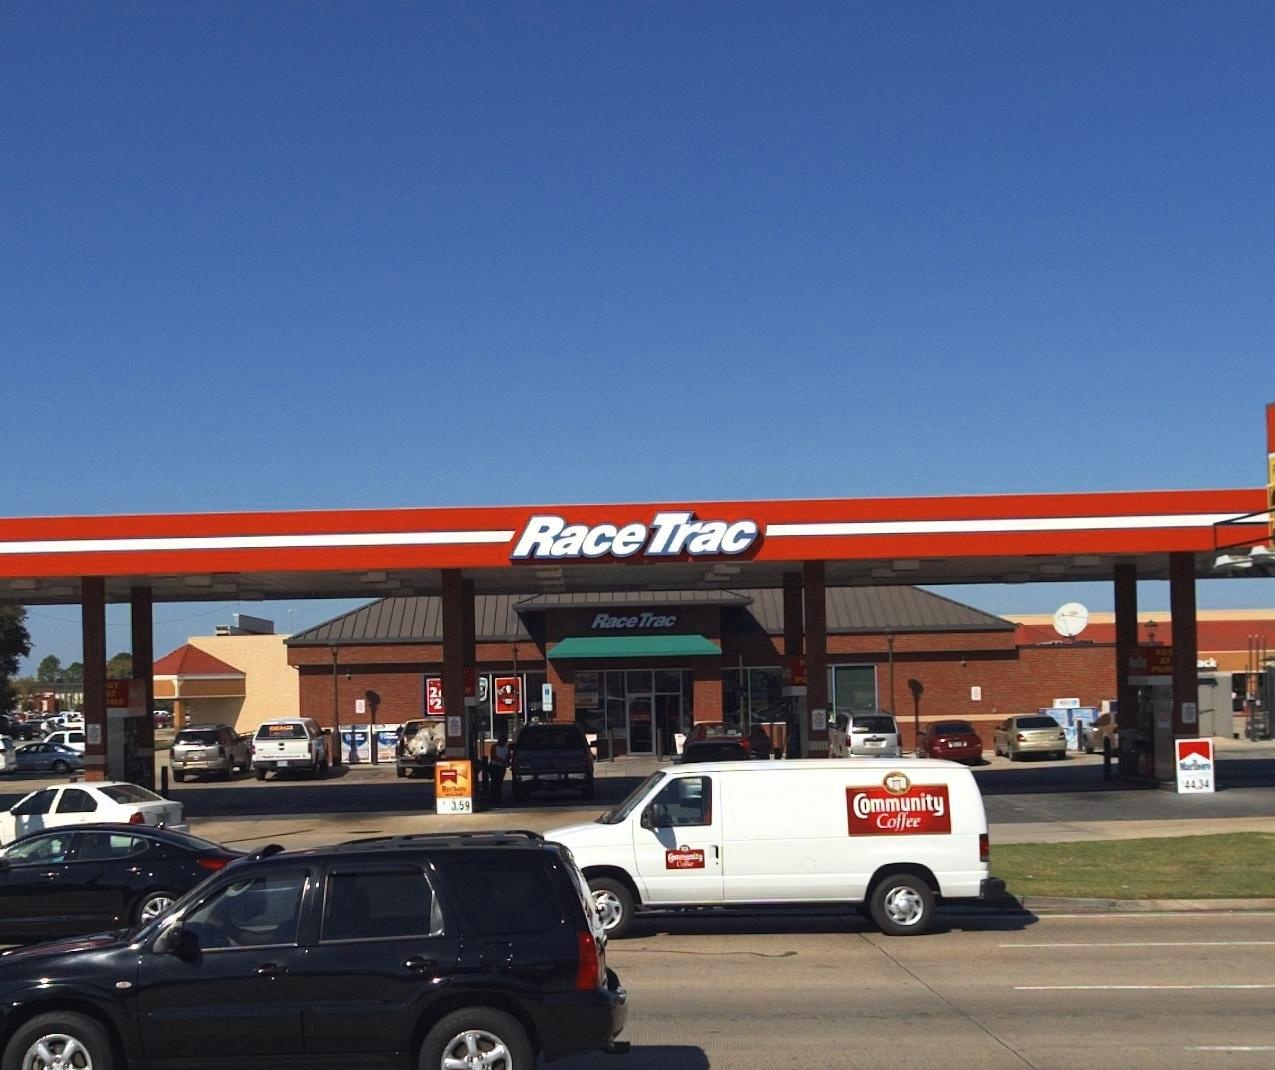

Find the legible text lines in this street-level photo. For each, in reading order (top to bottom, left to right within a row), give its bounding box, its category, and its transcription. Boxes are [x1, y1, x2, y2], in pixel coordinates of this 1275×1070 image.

[503, 507, 766, 563] BusinessName: RaceTrac
[586, 610, 682, 631] BusinessName: RaceTrac
[1154, 647, 1169, 657] None: PA
[1149, 664, 1167, 675] None: PU
[1156, 656, 1172, 666] None: AT
[1202, 655, 1220, 671] None: ck
[105, 680, 122, 692] None: AY
[427, 685, 440, 700] None: 2
[793, 674, 810, 686] None: PU
[108, 697, 127, 707] None: MP
[430, 697, 444, 712] None: 2
[1178, 757, 1213, 772] None: Marlboro
[1181, 777, 1211, 792] None: 44.34
[449, 798, 472, 812] None: 3.59
[850, 790, 946, 821] BusinessName: Community
[873, 810, 925, 834] BusinessName: Coffee